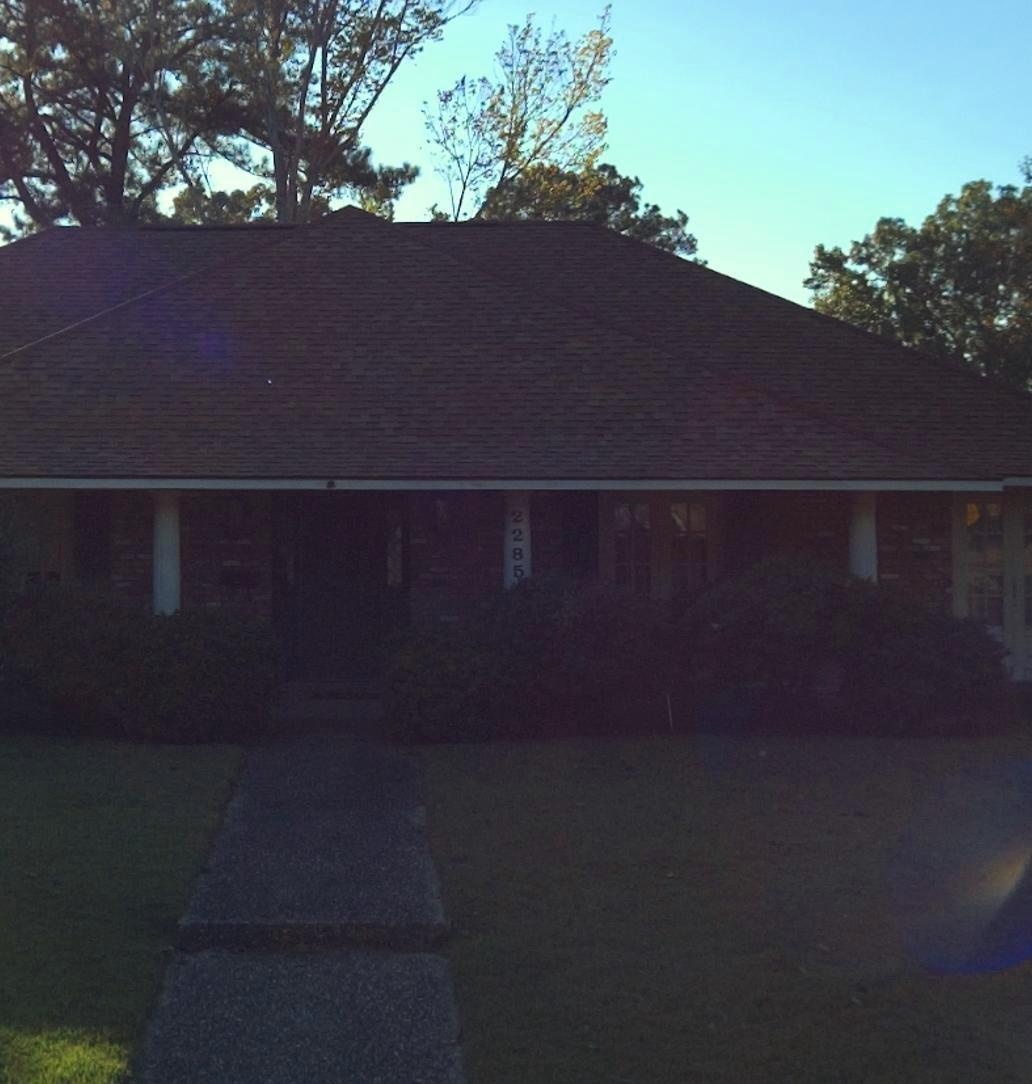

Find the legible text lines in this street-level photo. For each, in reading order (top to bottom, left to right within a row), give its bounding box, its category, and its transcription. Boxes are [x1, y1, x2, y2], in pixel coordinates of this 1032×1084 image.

[511, 509, 525, 579] StreetNumber: 2285